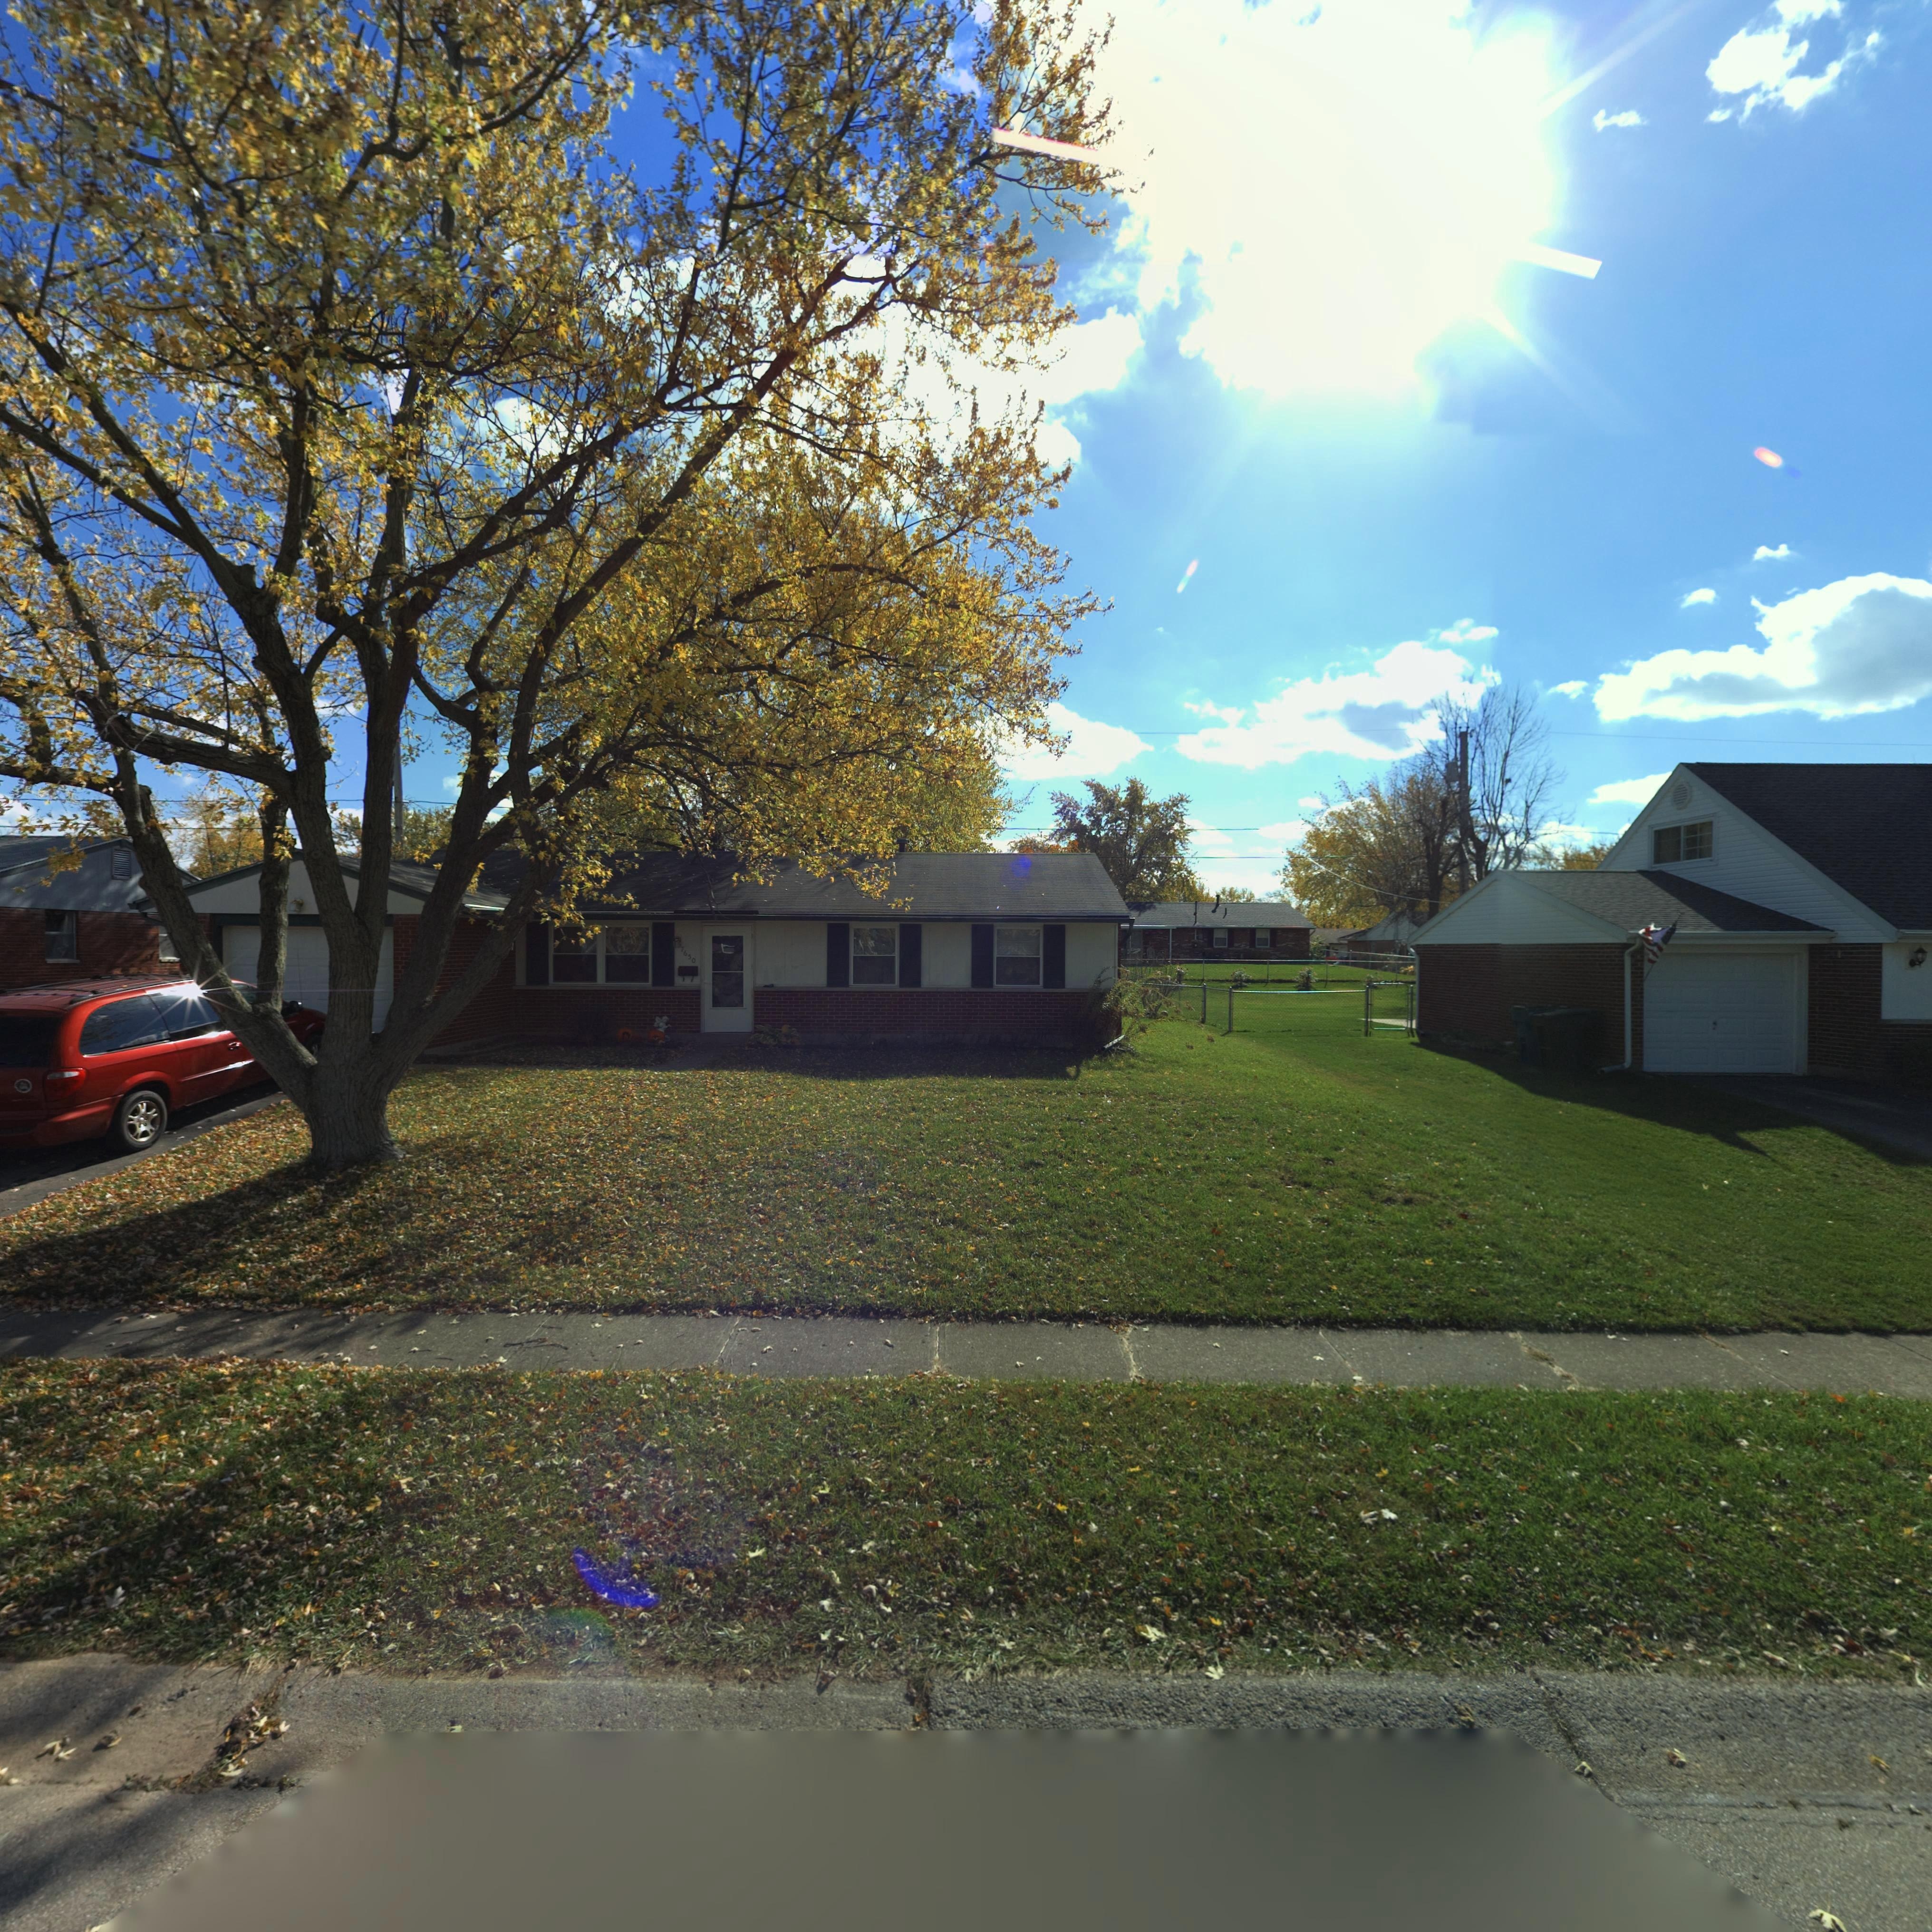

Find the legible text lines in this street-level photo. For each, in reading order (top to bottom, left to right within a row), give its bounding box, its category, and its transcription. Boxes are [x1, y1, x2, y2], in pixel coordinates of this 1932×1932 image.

[680, 946, 696, 964] StreetNumber: 7650